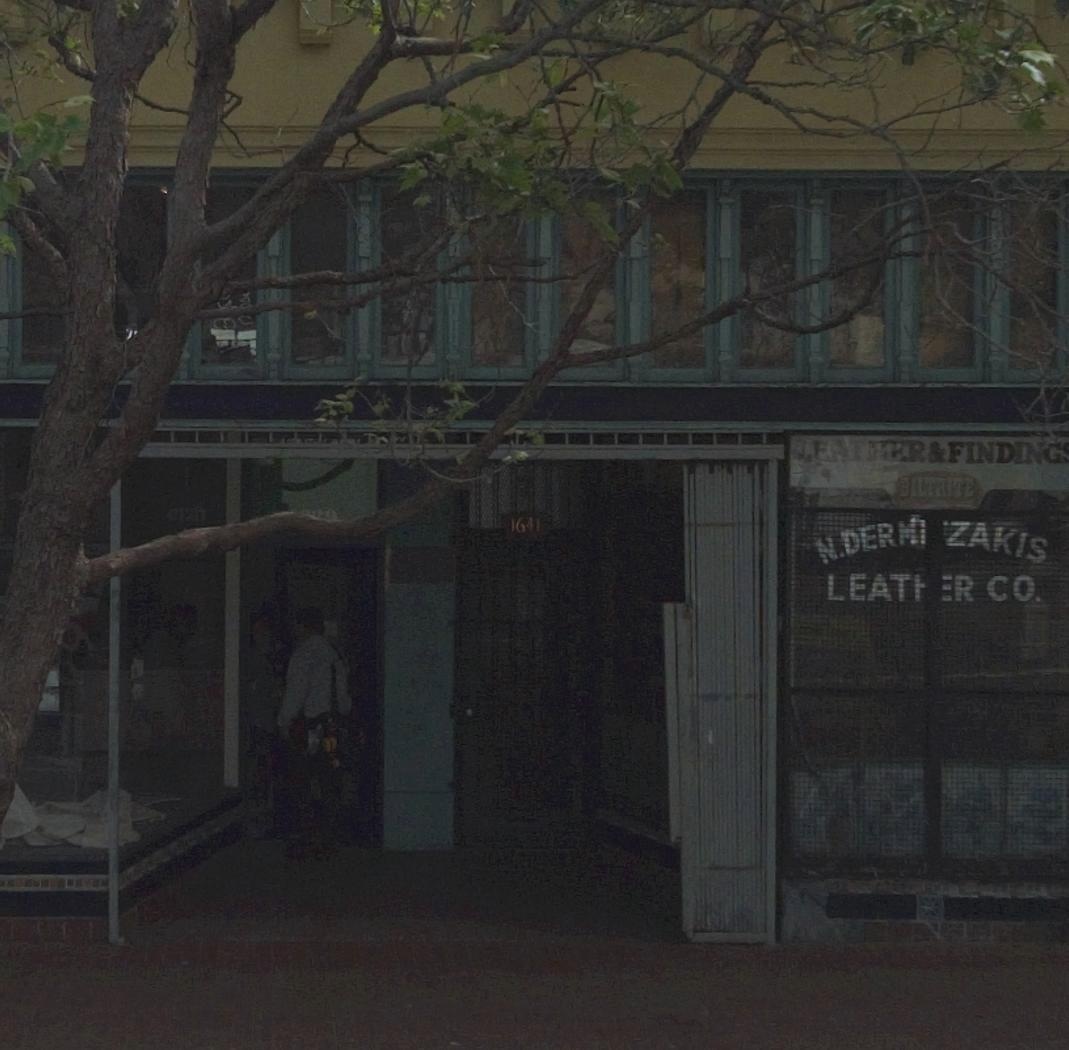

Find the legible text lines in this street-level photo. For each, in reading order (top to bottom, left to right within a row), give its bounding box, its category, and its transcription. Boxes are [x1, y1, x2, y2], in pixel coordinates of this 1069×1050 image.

[794, 438, 1064, 465] BusinessName: LEATHER & FINDING
[897, 477, 975, 499] BusinessName: BILTRITE
[509, 516, 542, 535] StreetNumber: 1641
[814, 516, 1049, 565] BusinessName: N.DERM*ZAKIS
[827, 572, 1043, 603] BusinessName: LEAT**R CO.